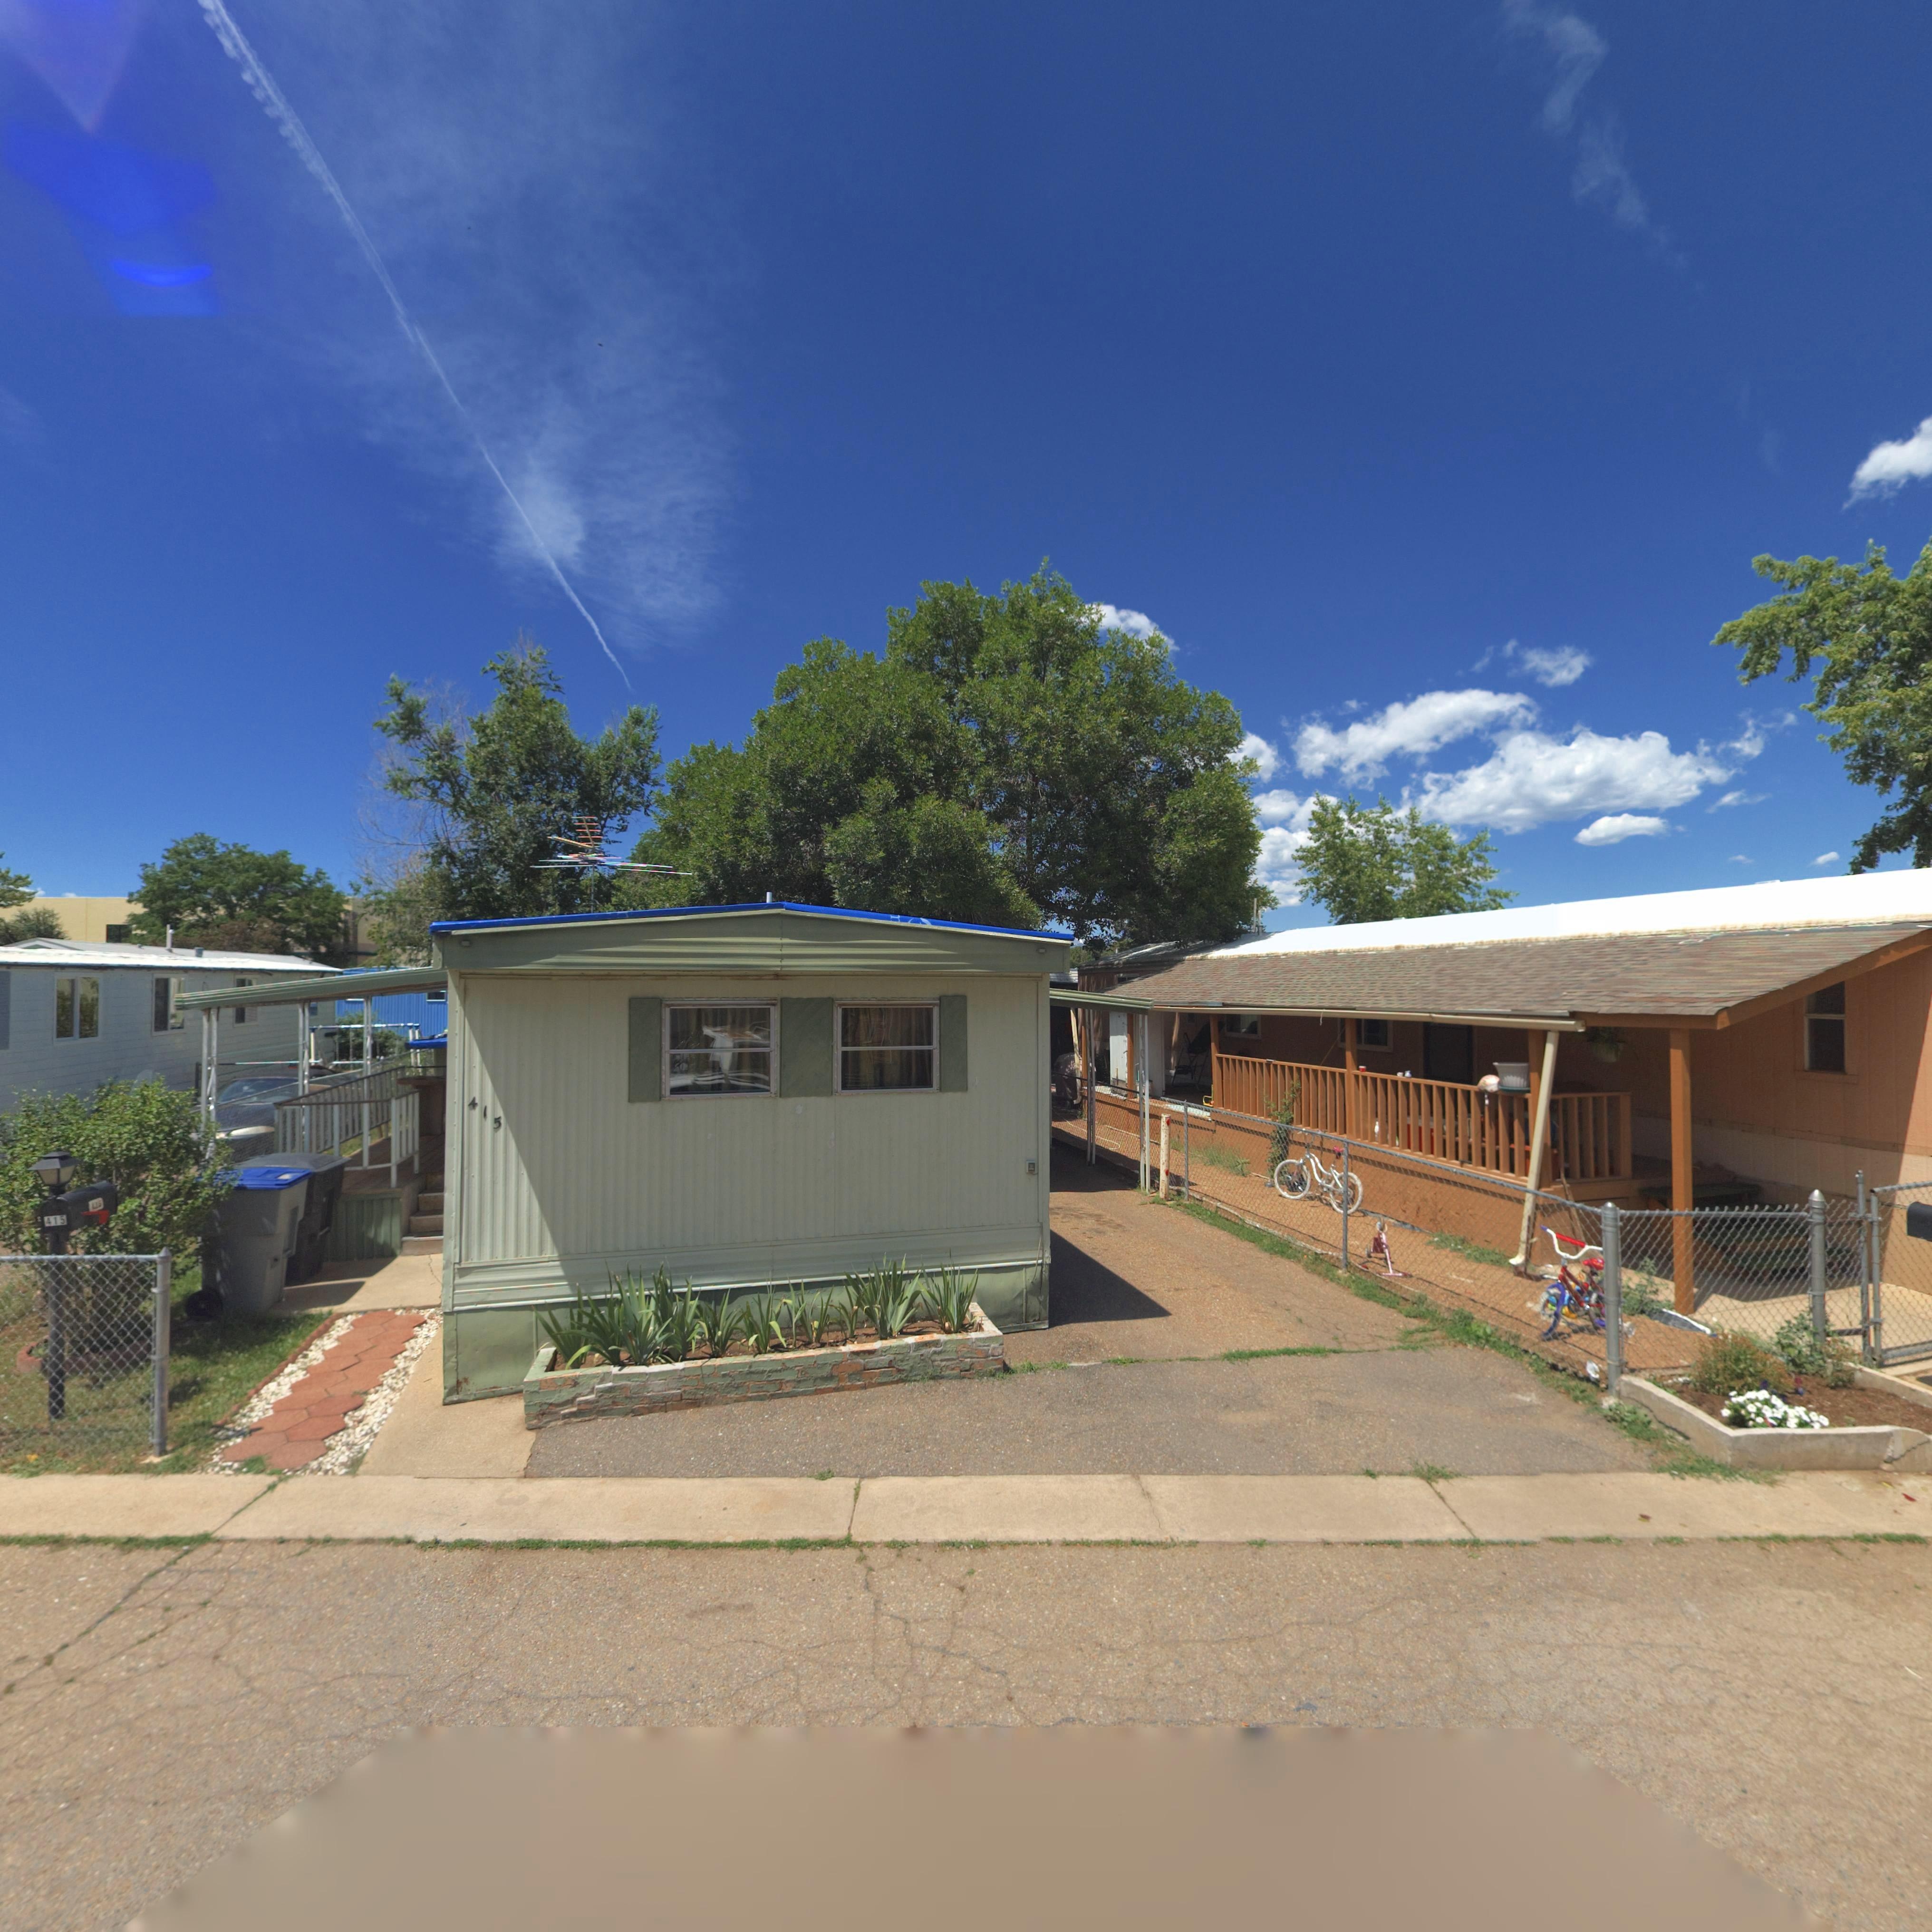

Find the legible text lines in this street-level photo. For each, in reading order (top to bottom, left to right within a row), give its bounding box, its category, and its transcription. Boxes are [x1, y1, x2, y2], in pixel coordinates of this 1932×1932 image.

[467, 1096, 502, 1130] StreetNumber: 415
[46, 1215, 65, 1226] StreetNumber: 415